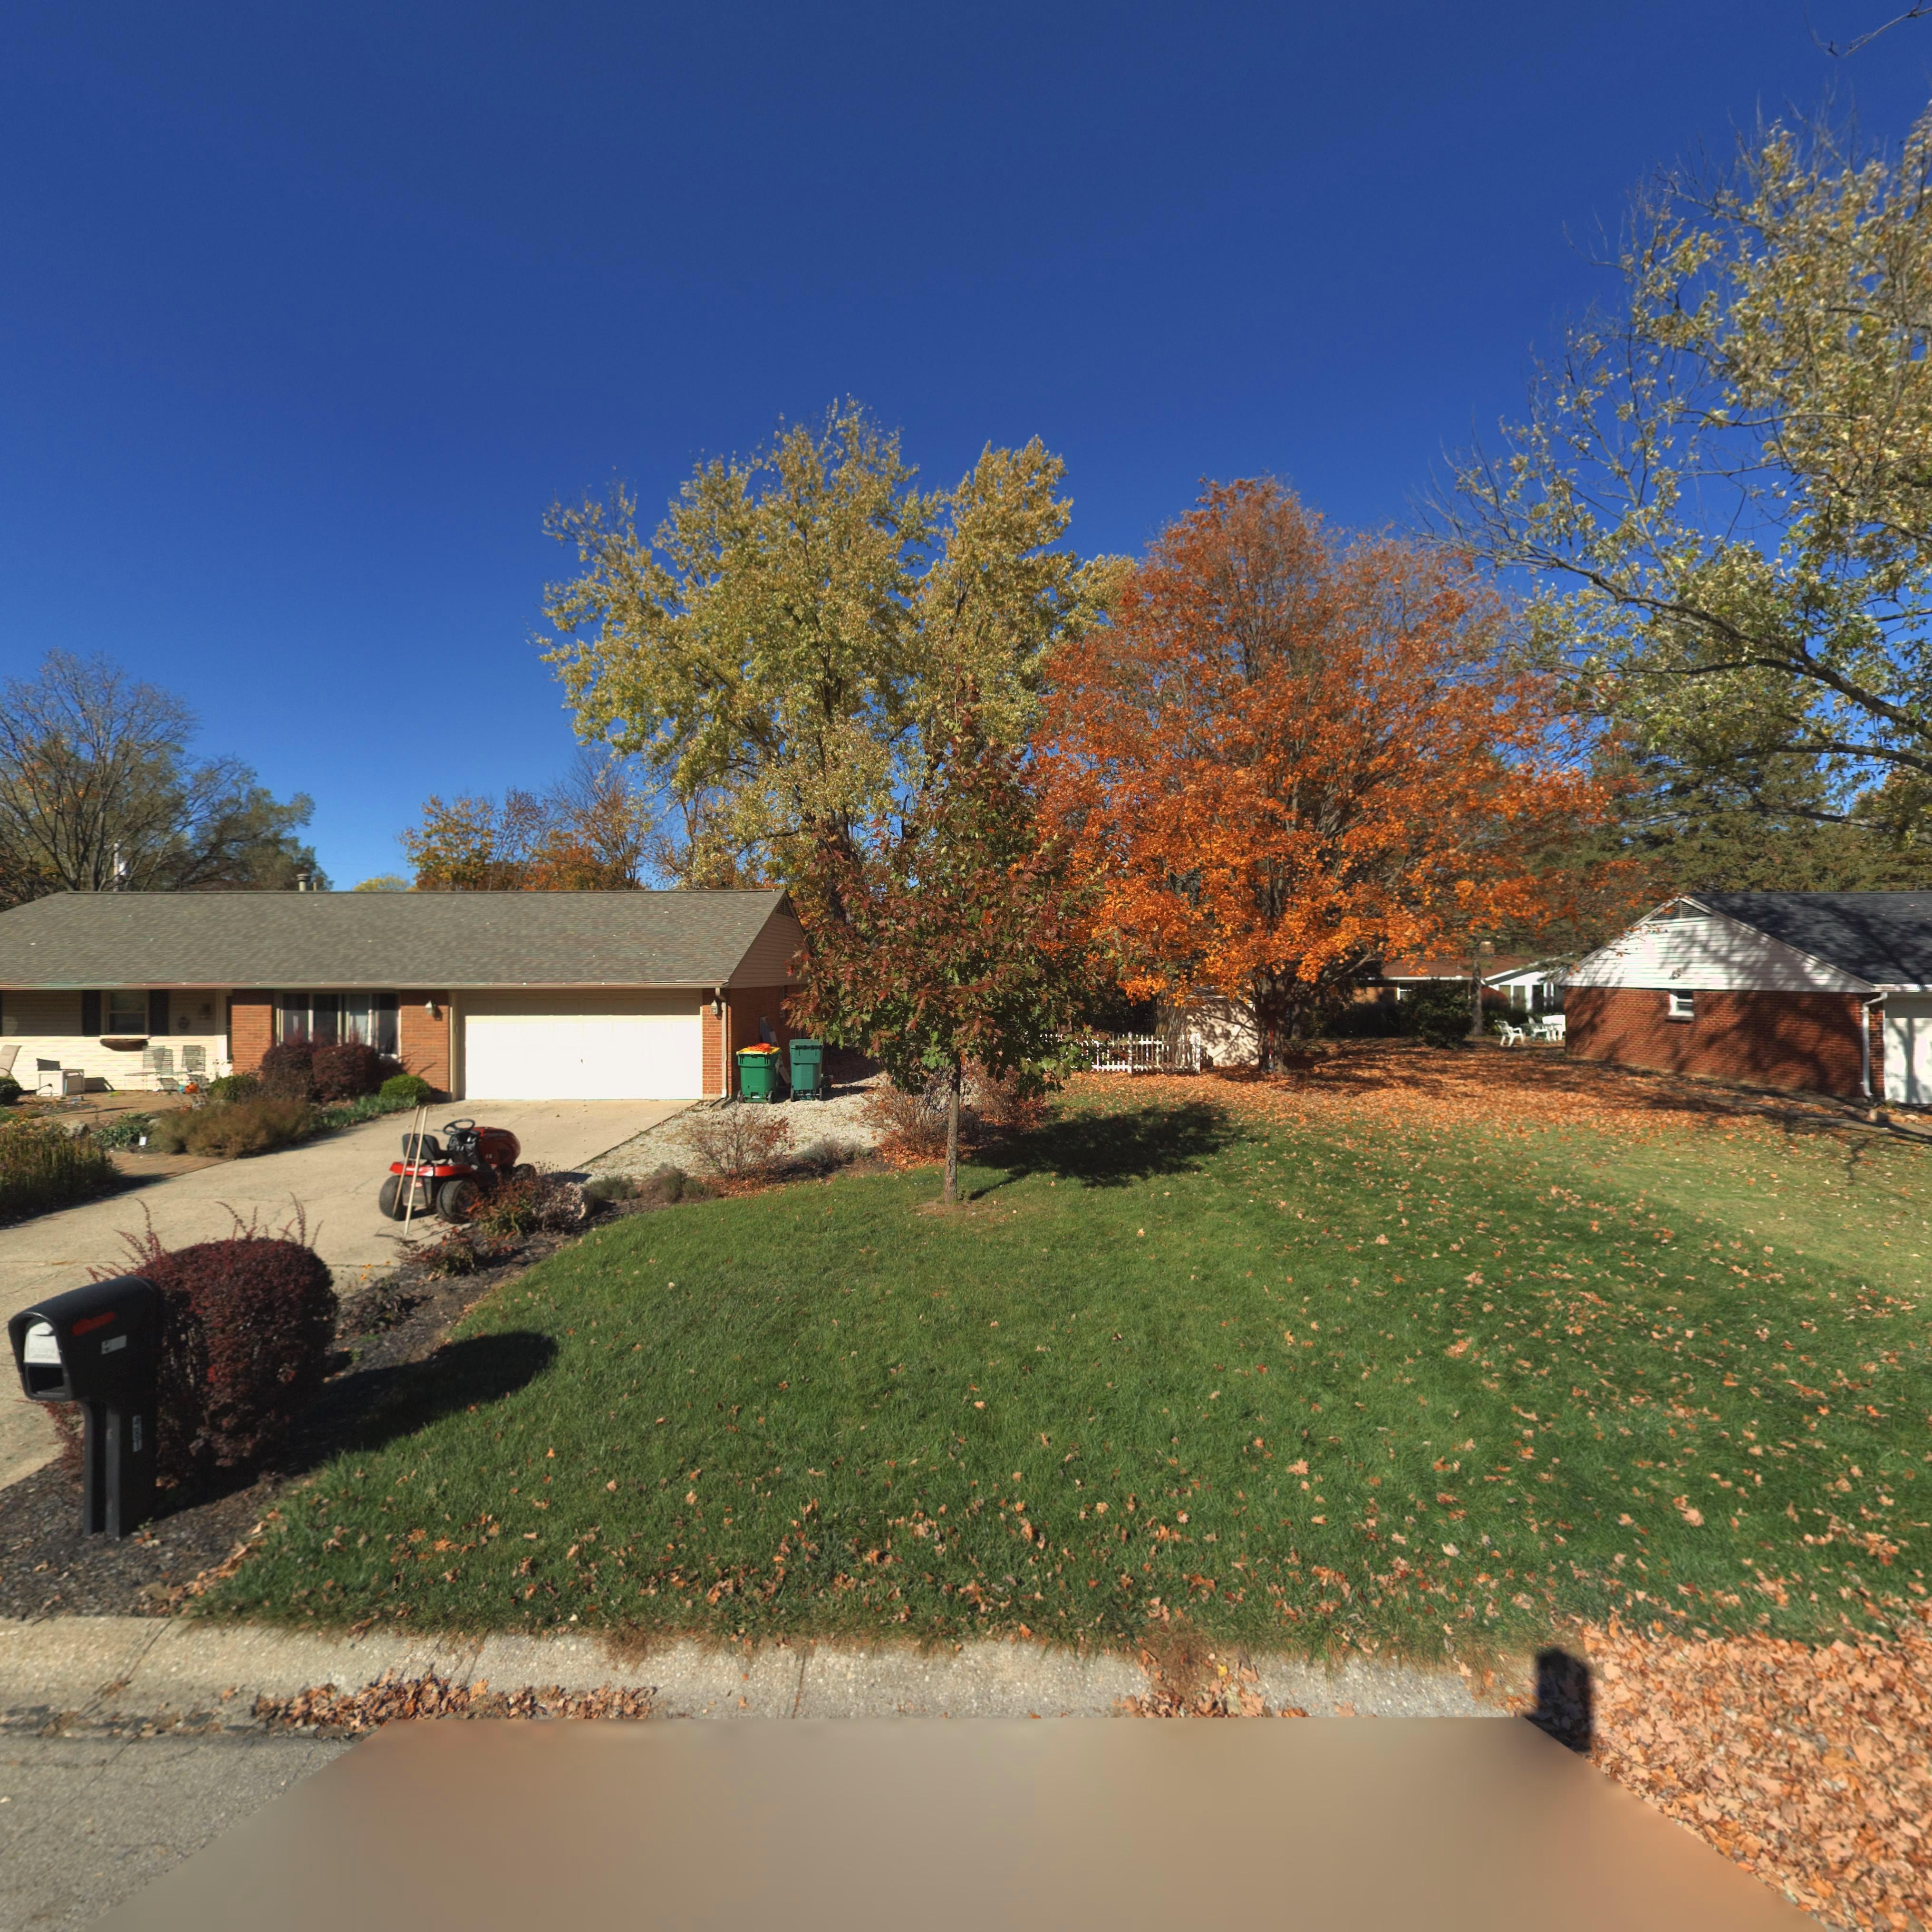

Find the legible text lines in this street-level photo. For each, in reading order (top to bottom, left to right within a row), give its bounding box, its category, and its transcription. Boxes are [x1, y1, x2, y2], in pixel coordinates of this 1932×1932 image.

[101, 1334, 126, 1356] StreetNumber: 4**
[133, 1413, 142, 1453] StreetNumber: 481